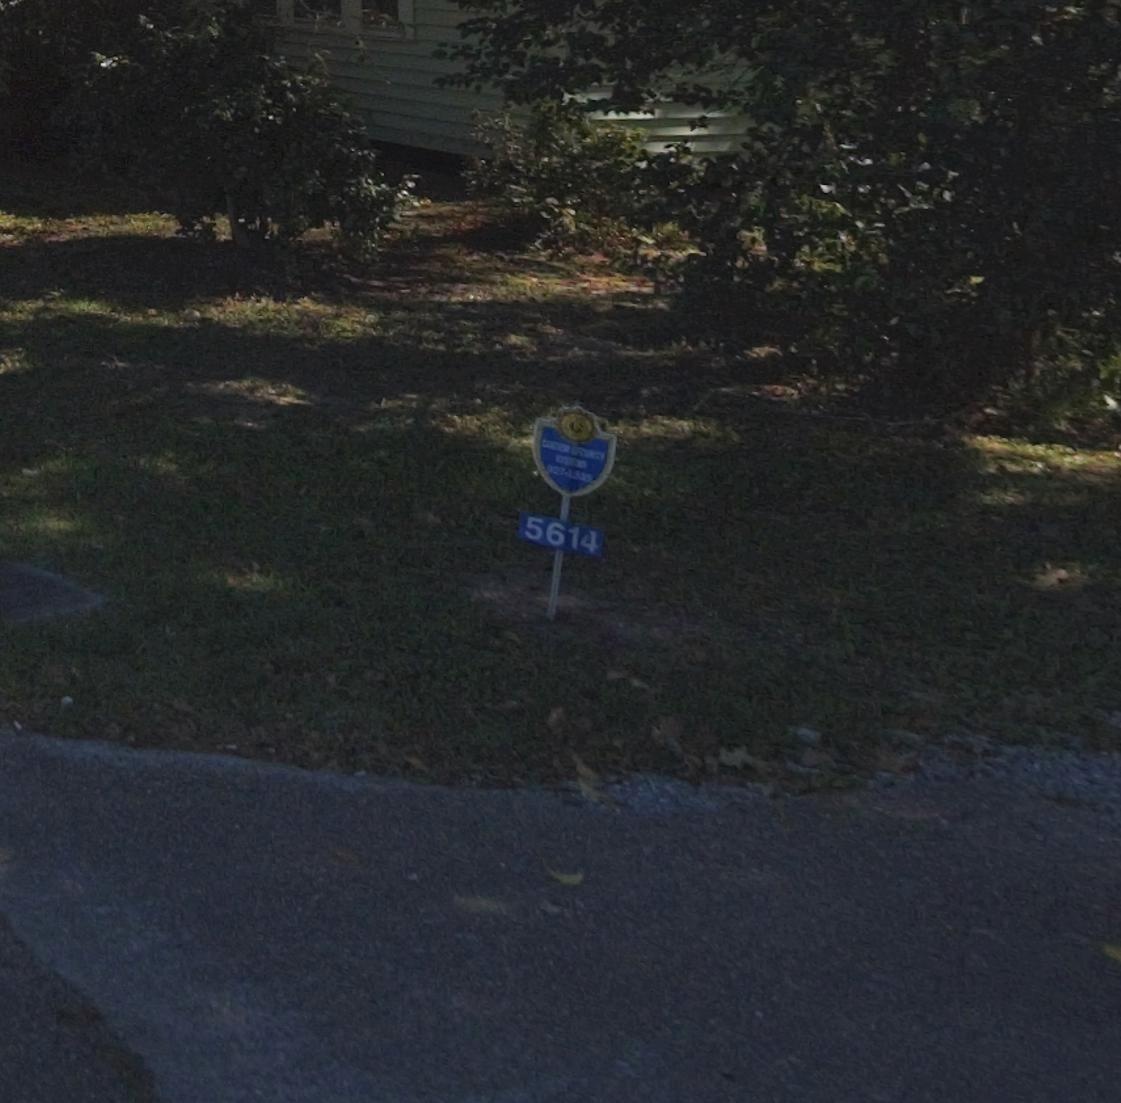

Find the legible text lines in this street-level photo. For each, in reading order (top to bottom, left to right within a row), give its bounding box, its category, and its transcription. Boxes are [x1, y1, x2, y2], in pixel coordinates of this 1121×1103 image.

[521, 512, 601, 559] StreetNumber: 5614